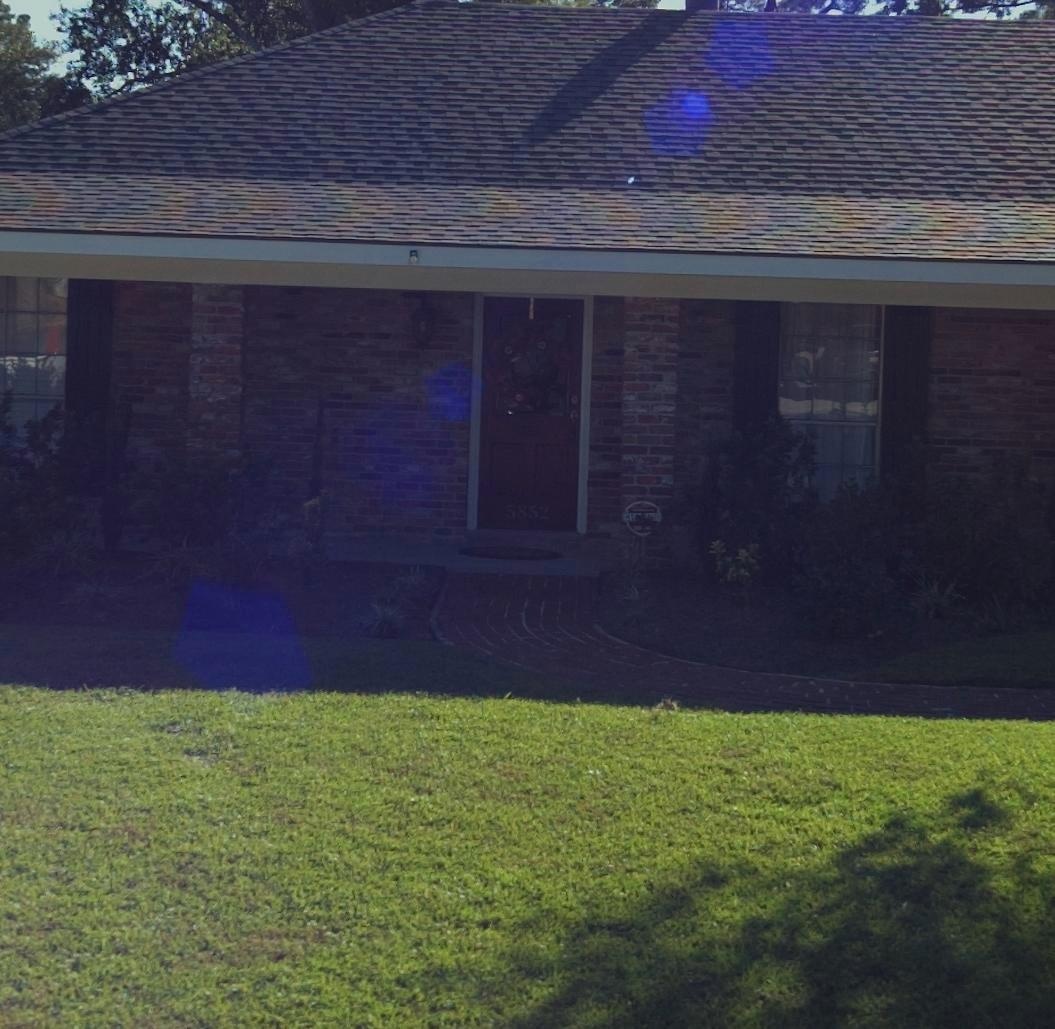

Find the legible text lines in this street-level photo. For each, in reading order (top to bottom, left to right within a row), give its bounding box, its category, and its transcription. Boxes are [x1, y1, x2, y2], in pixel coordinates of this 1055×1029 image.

[504, 502, 552, 522] StreetNumber: 5852